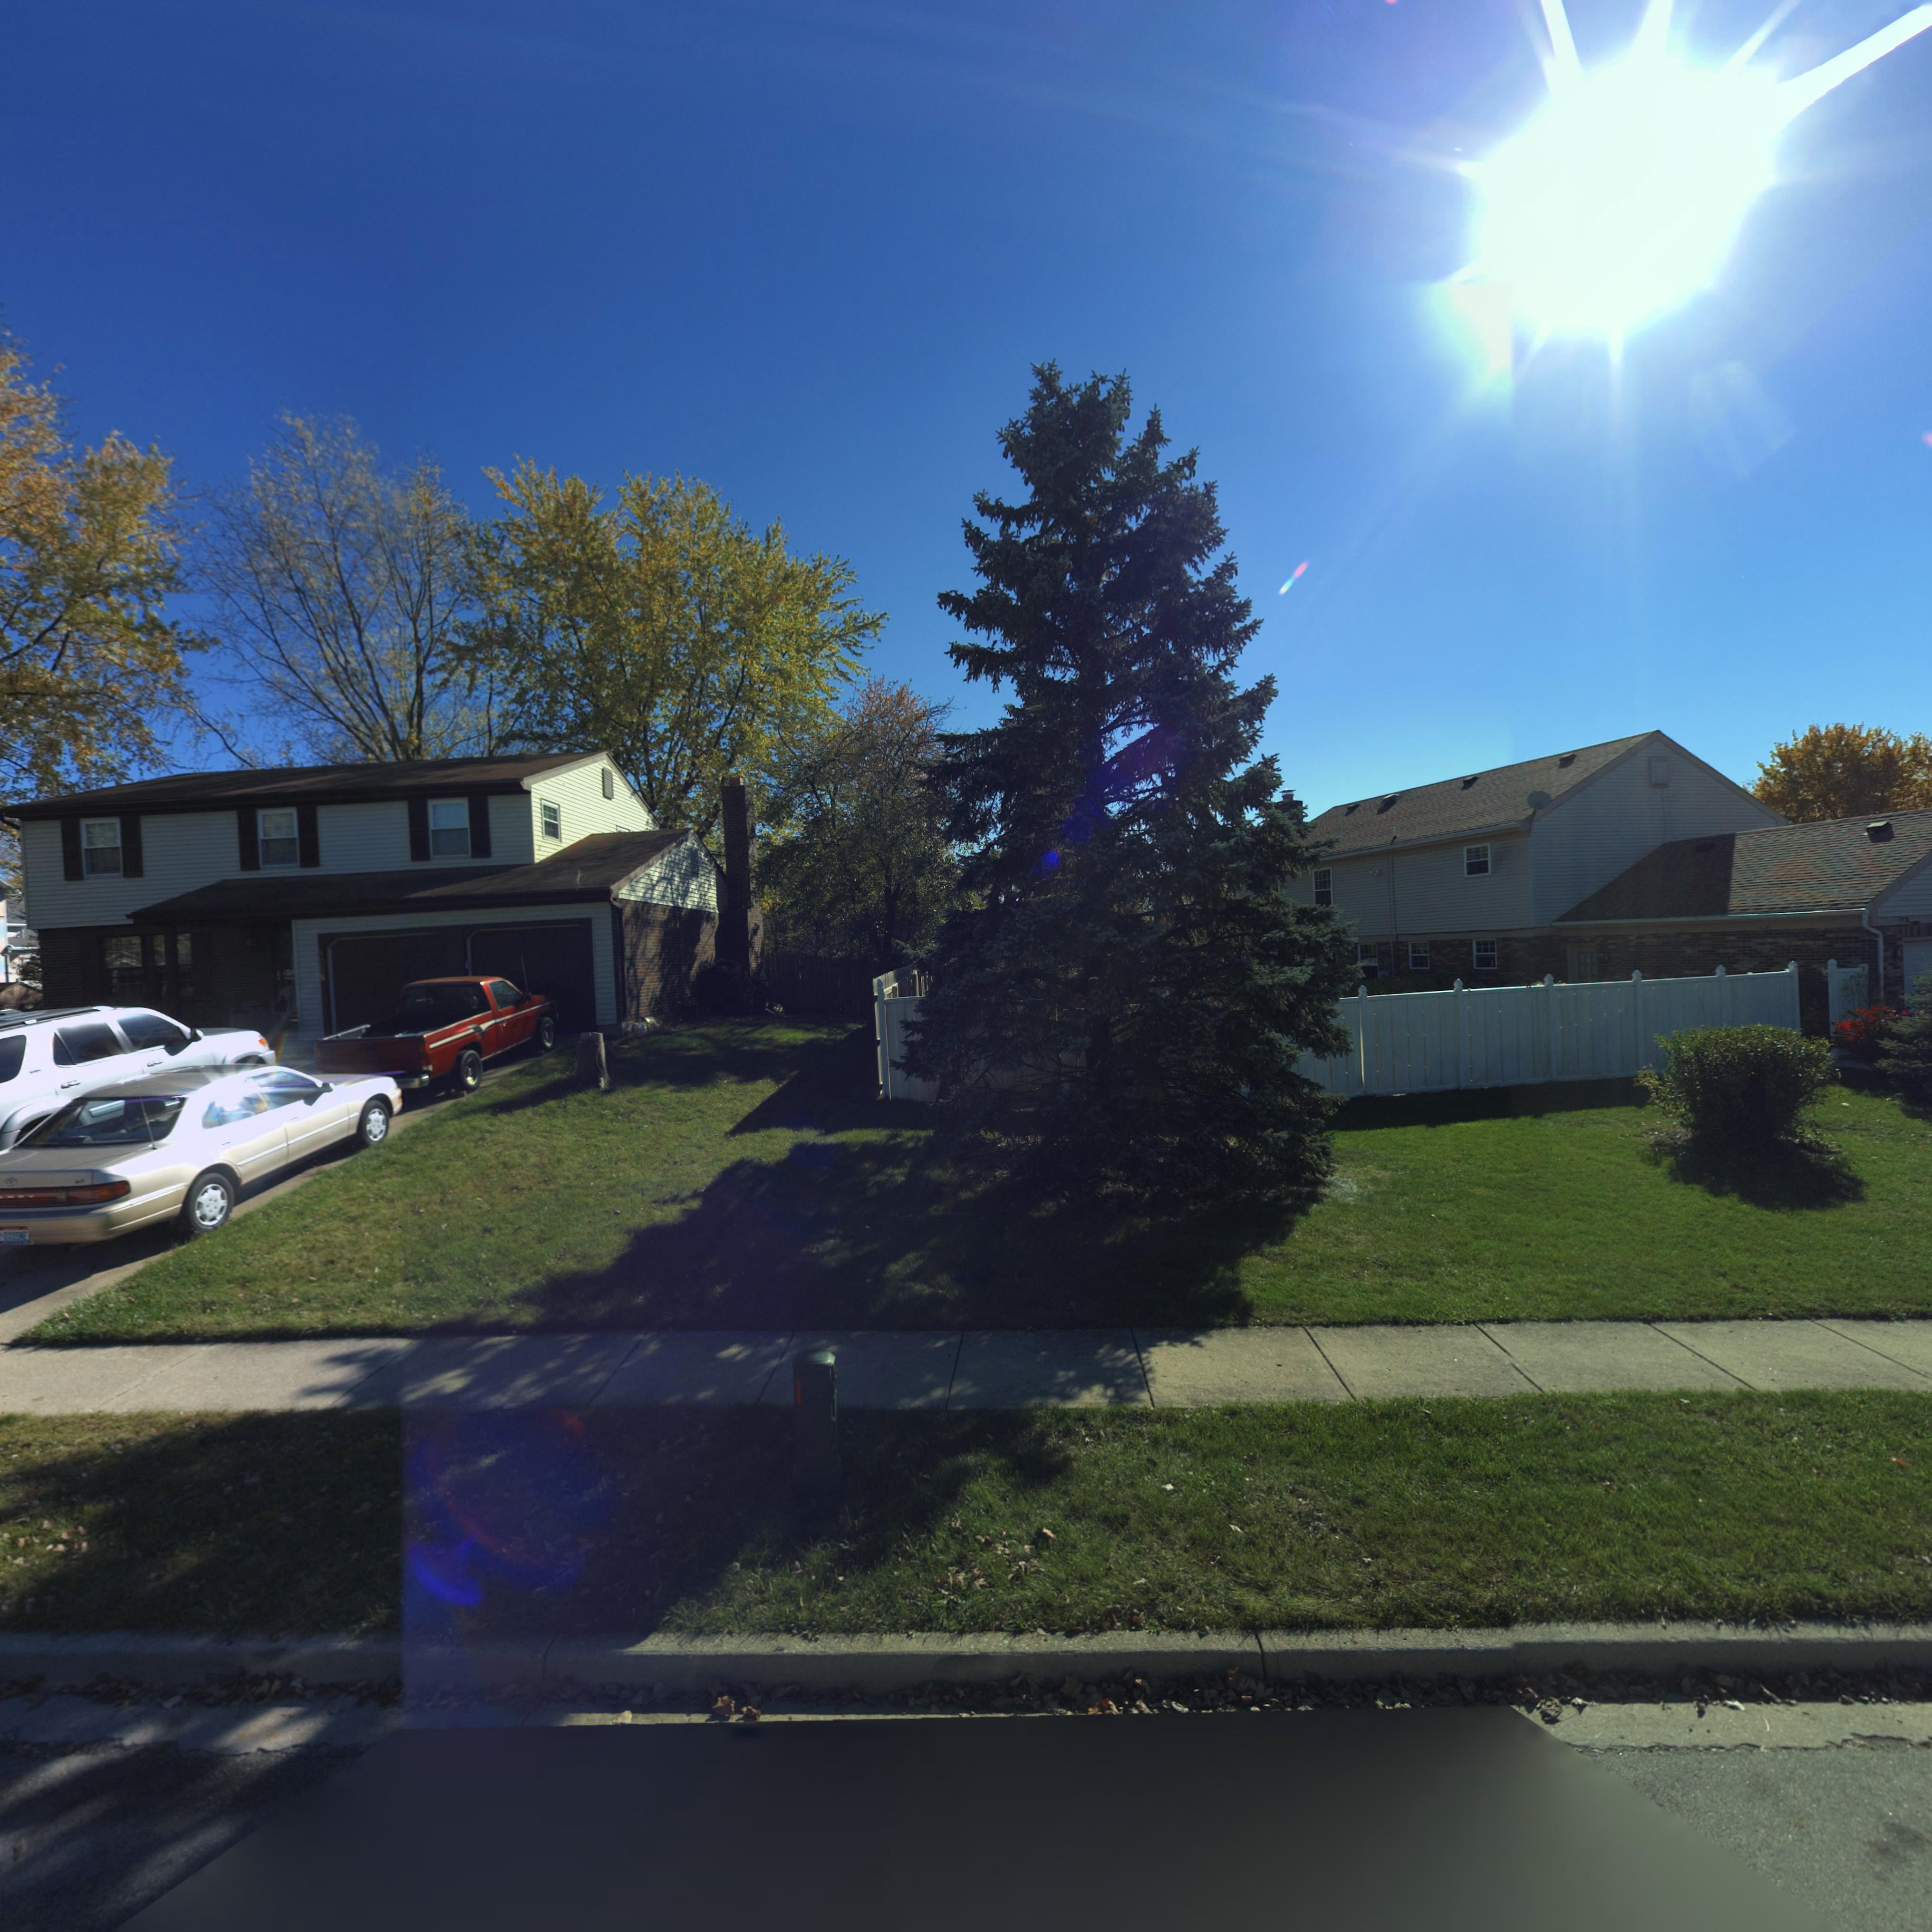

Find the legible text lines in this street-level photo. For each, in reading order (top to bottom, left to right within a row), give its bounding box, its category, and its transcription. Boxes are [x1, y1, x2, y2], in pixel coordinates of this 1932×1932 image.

[318, 947, 326, 982] StreetNumber: **56